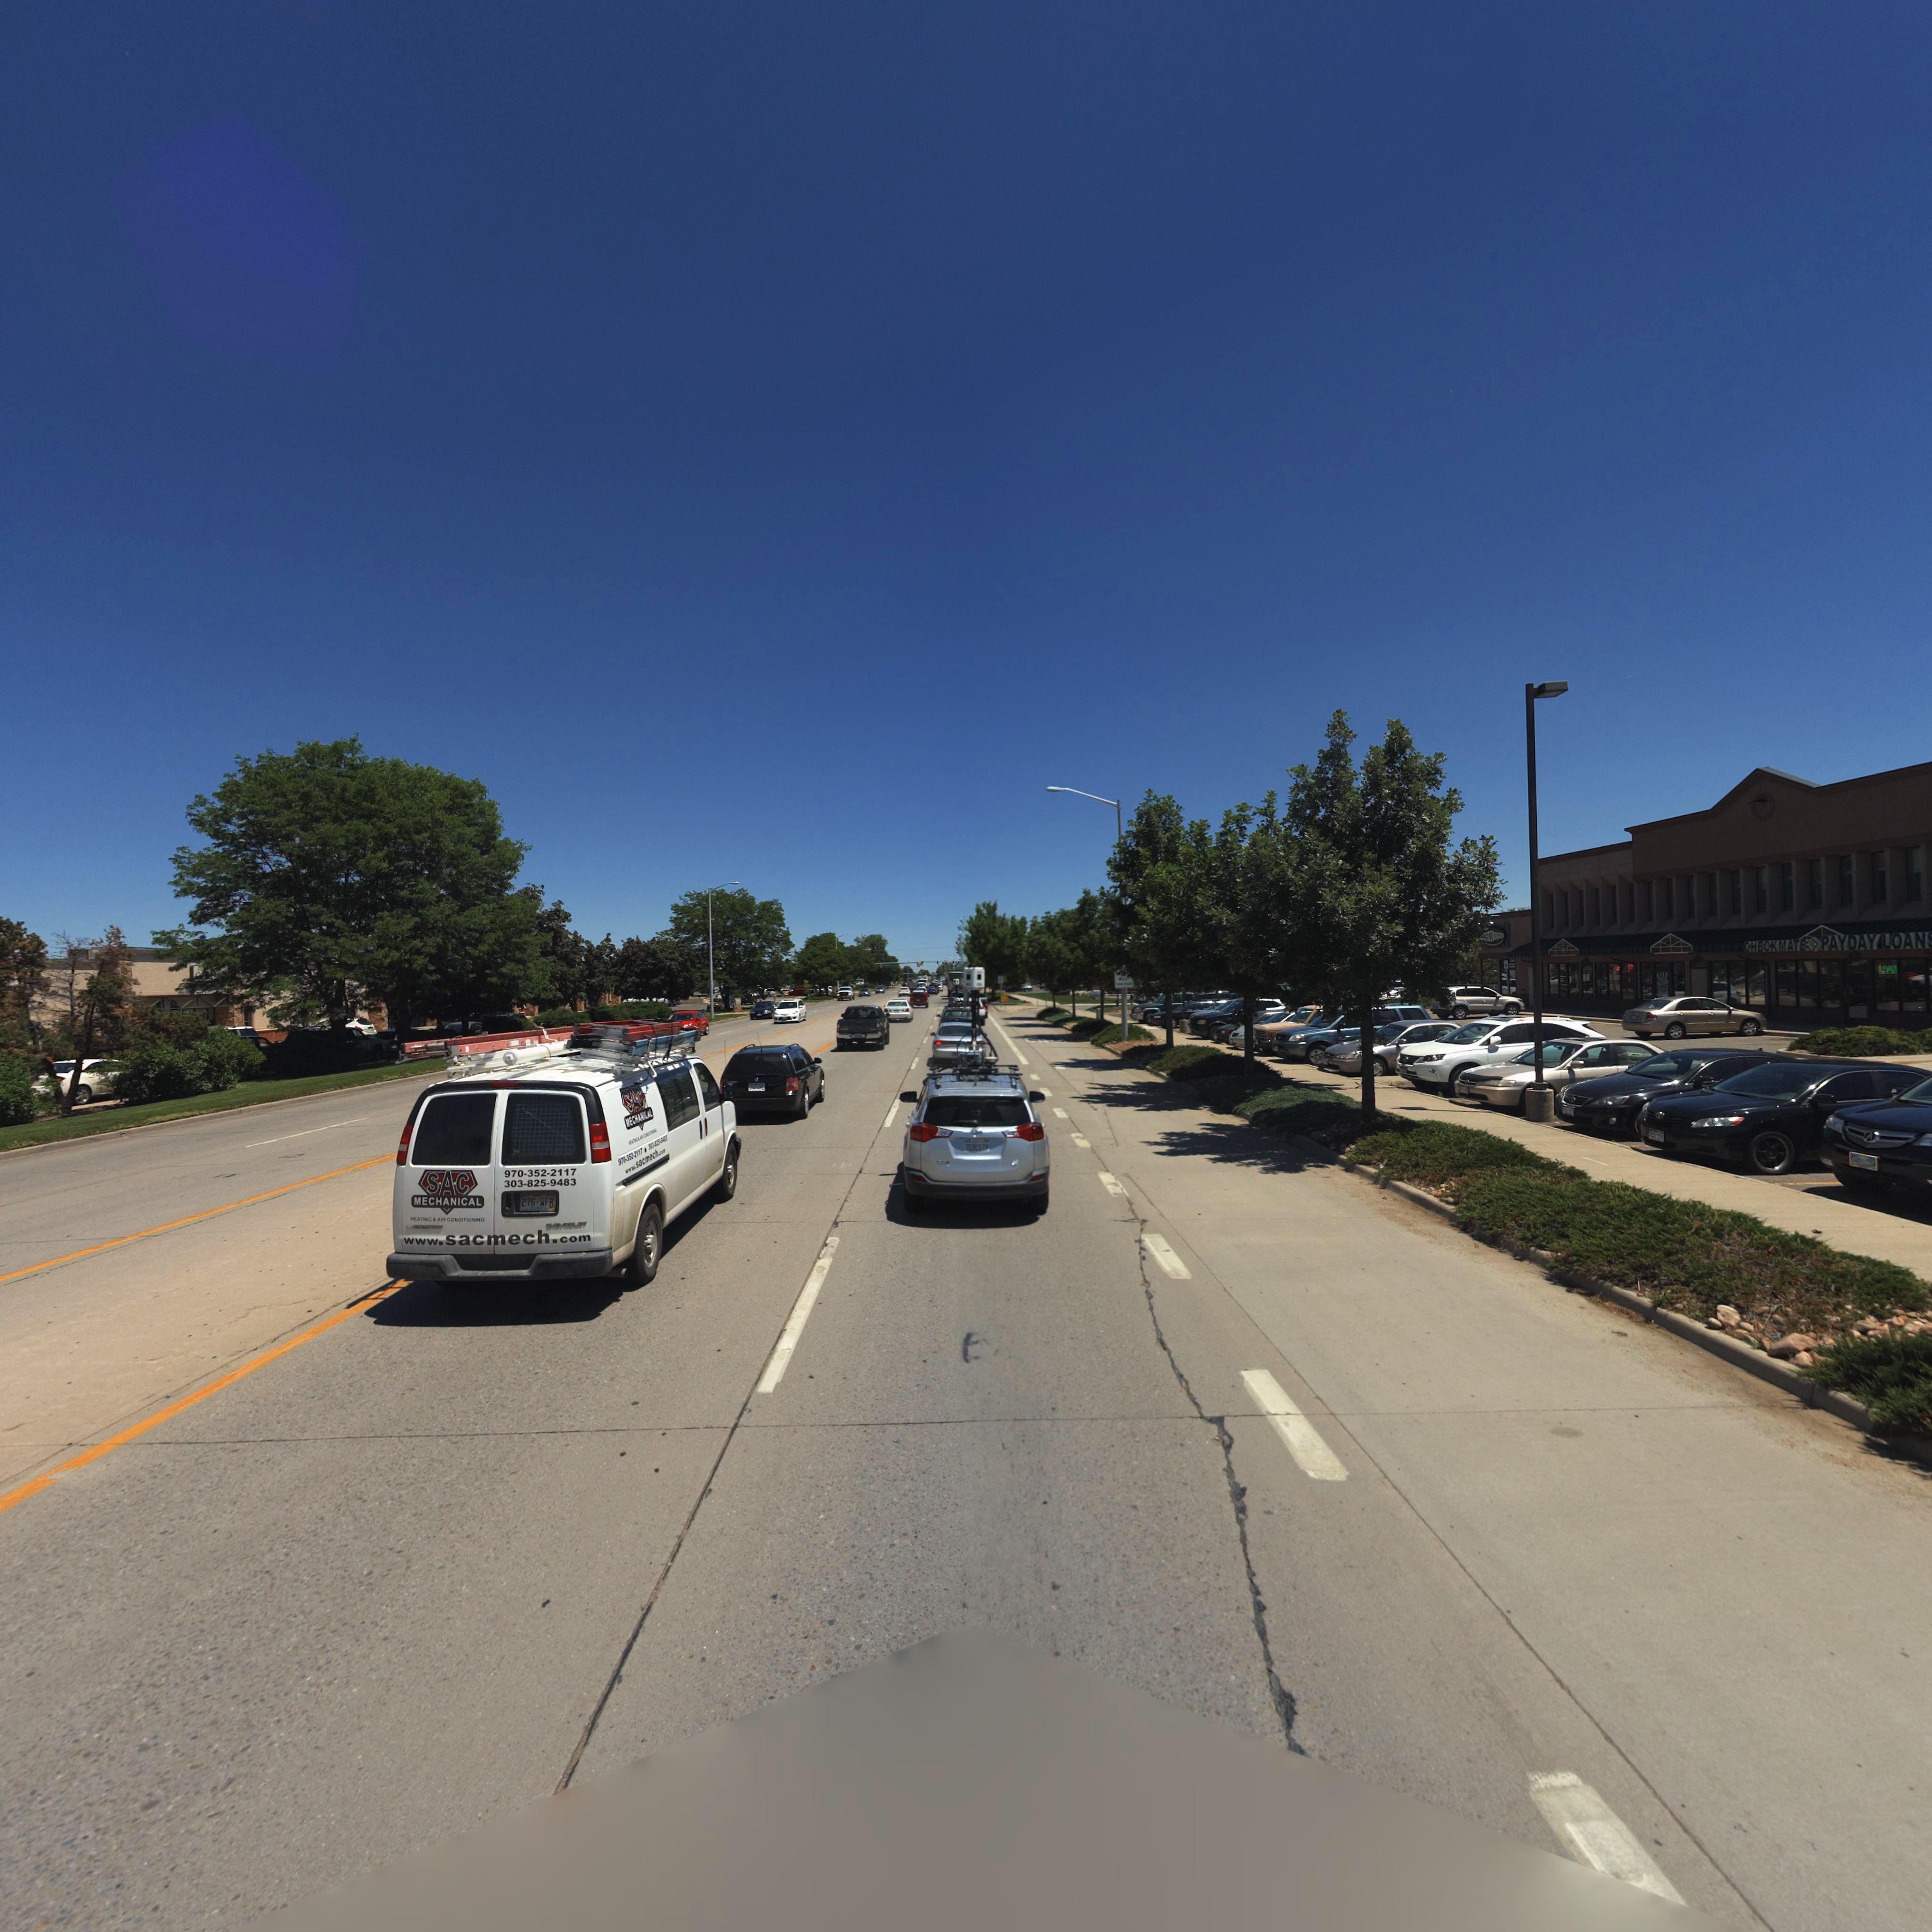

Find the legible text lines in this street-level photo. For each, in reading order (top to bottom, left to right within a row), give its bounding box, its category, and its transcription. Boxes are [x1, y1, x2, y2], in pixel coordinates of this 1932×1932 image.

[1481, 929, 1504, 942] BusinessName: CHUB******R
[1743, 931, 1926, 953] BusinessName: CHECKMATE PAYDAY LOAN